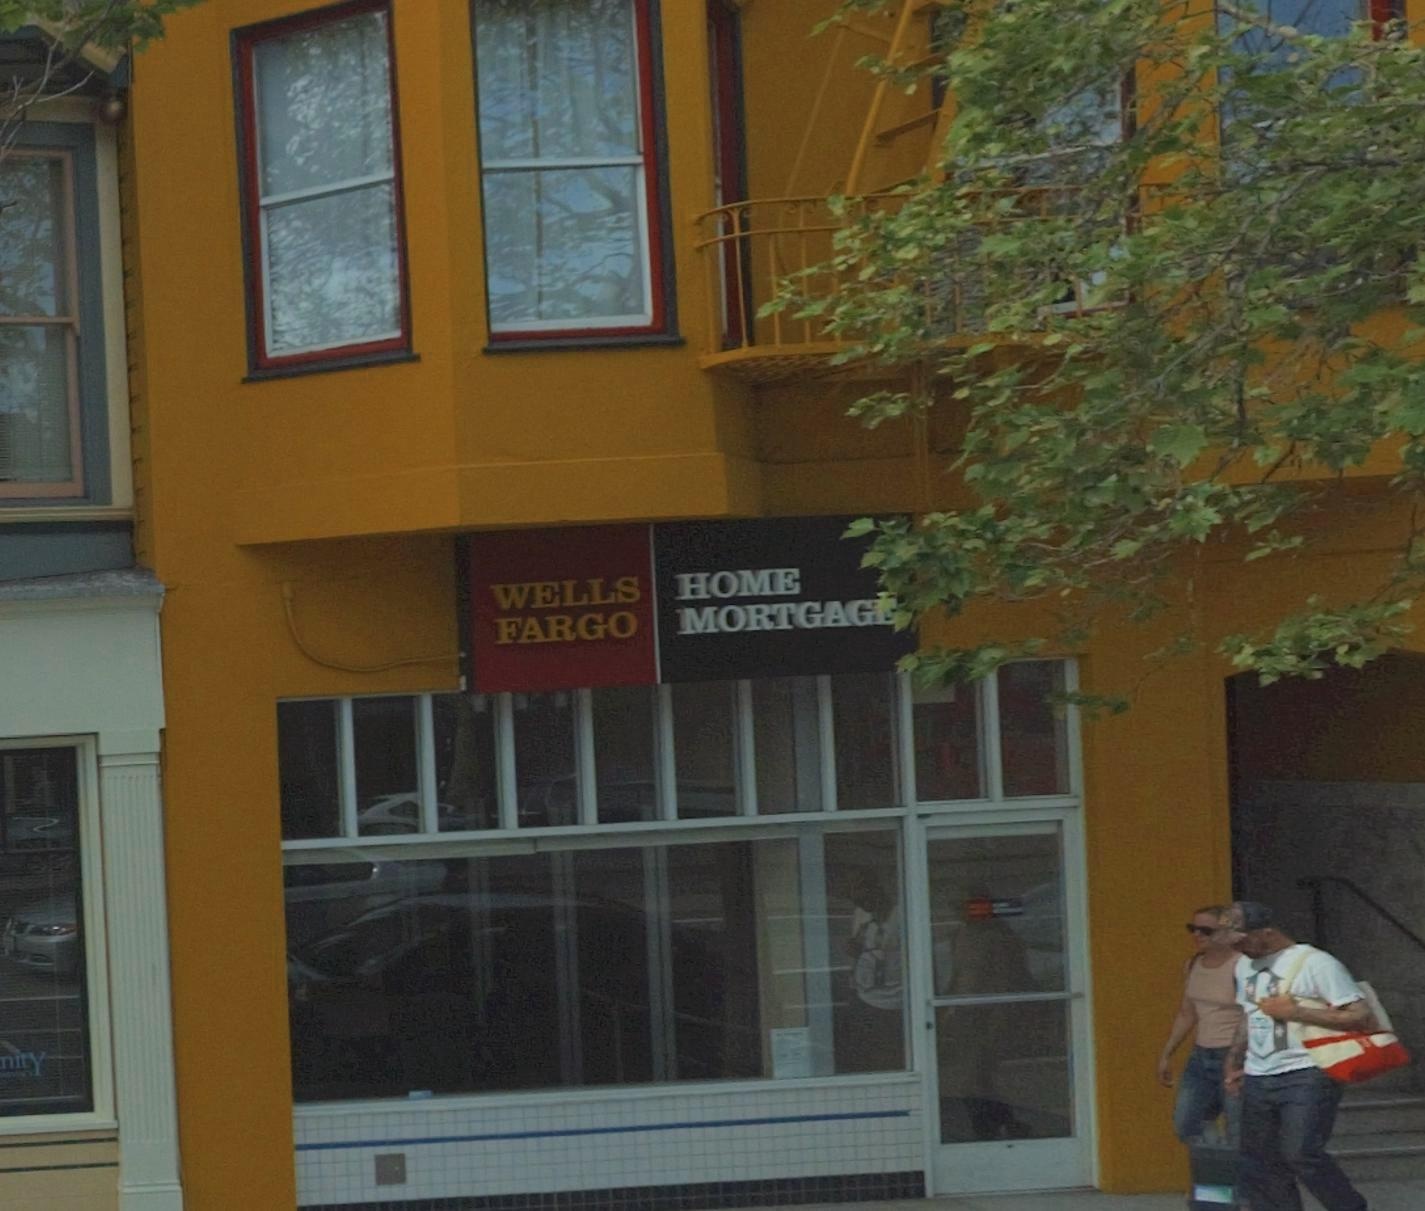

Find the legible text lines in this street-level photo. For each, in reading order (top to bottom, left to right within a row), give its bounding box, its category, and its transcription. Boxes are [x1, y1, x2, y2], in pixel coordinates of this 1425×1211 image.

[484, 572, 644, 614] BusinessName: WELLS
[670, 564, 804, 603] None: HOME
[491, 608, 641, 649] BusinessName: FARGIO
[675, 597, 875, 637] None: MORTGAG
[0, 1048, 50, 1079] BusinessName: nitY